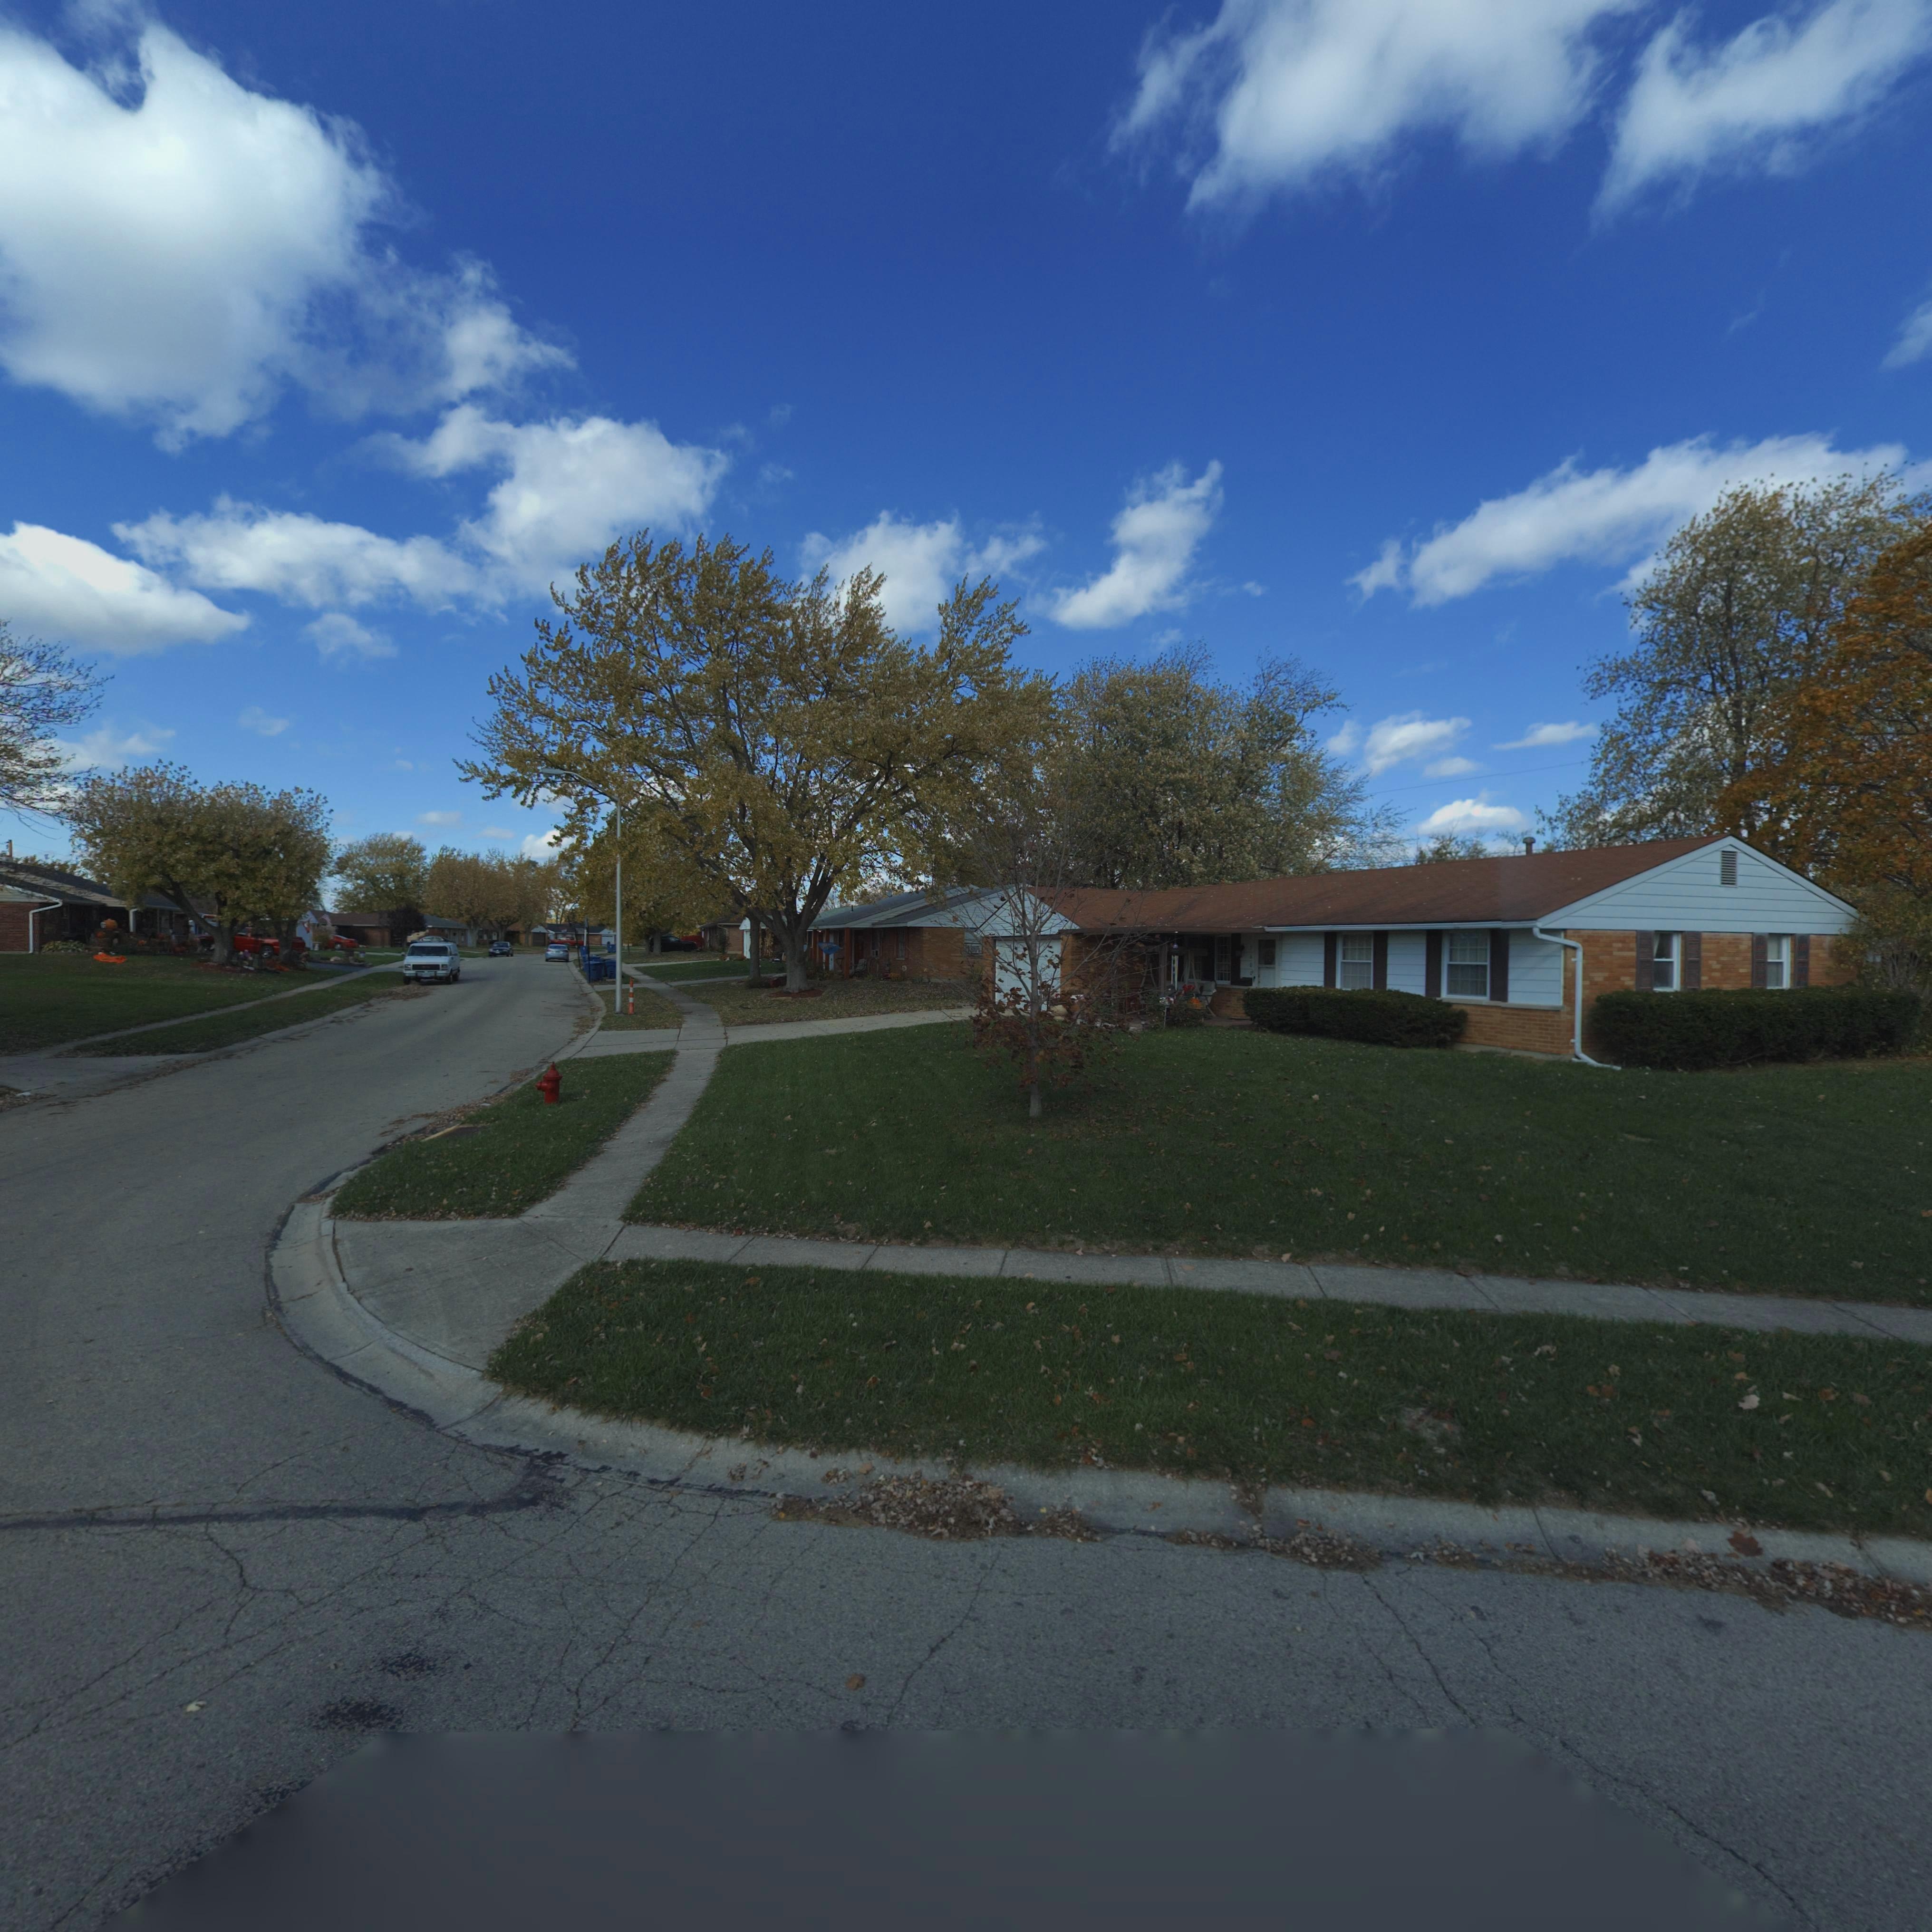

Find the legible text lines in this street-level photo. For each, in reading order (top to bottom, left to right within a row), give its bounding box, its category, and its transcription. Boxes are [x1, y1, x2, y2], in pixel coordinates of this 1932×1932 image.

[1249, 945, 1253, 976] StreetNumber: 7600